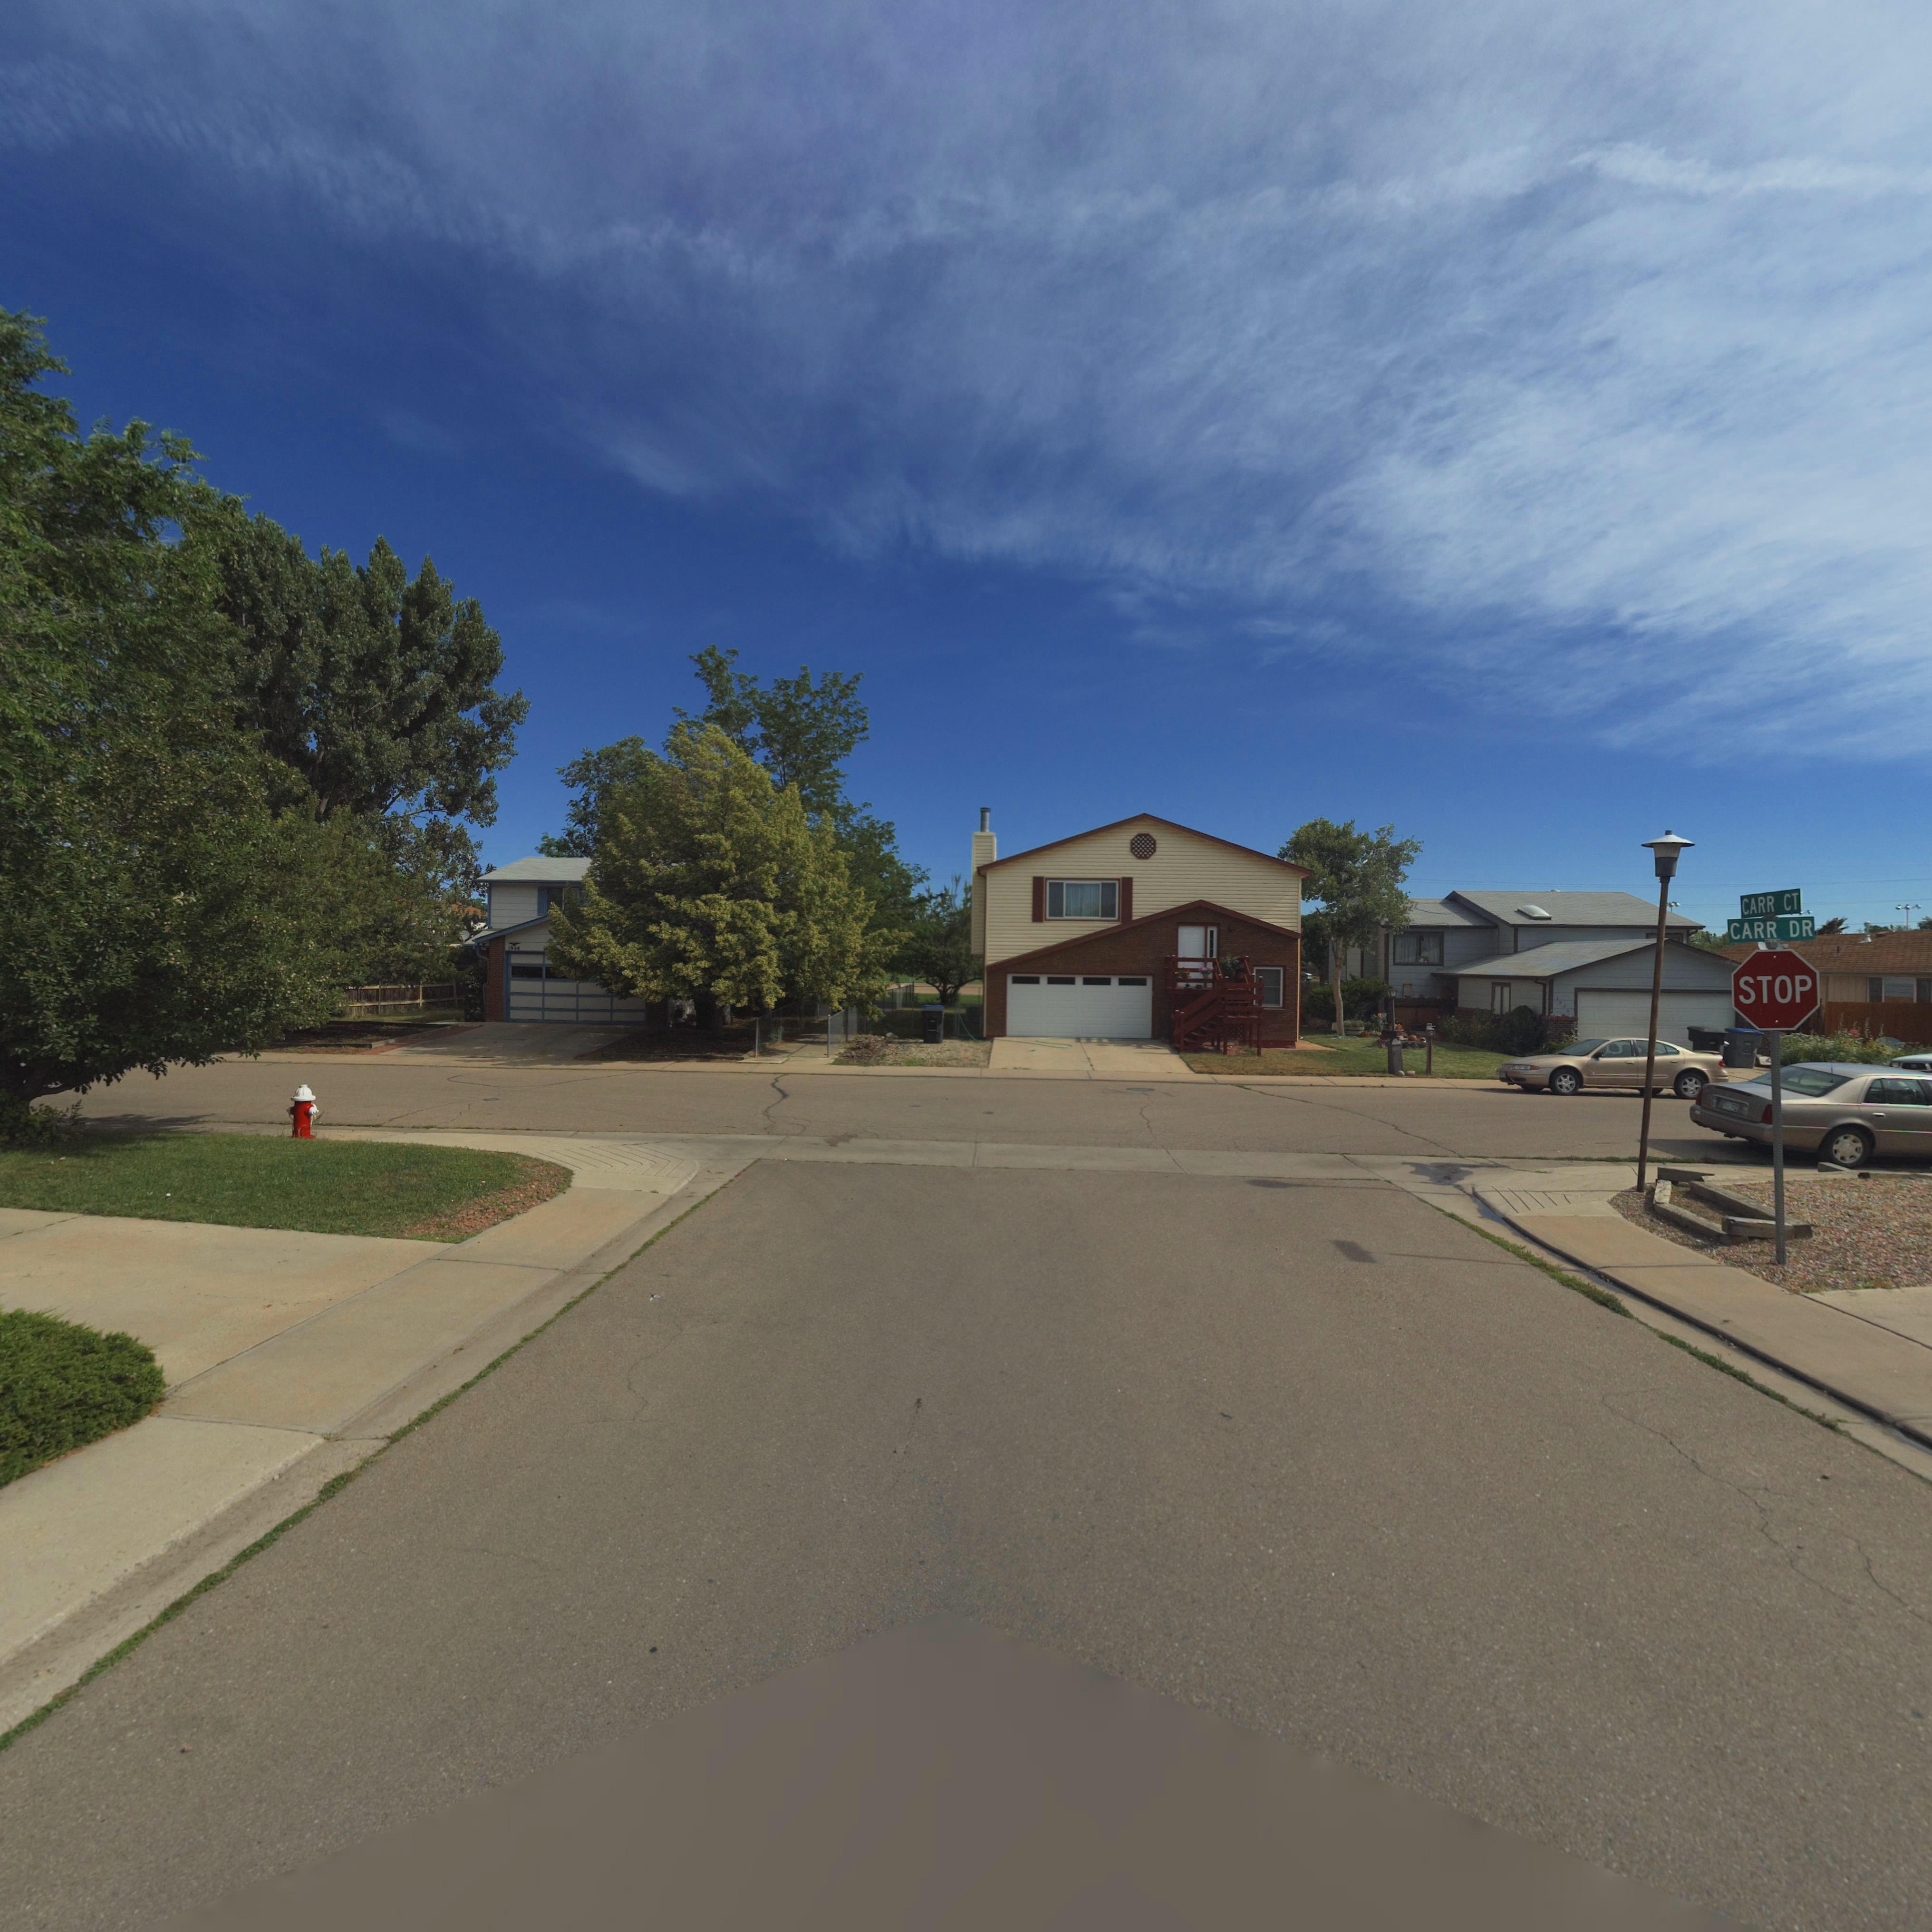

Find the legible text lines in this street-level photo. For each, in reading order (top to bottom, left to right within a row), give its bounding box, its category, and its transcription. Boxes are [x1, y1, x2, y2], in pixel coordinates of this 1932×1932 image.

[1741, 891, 1799, 916] StreetName: CARR CT
[1729, 919, 1814, 940] StreetNumber: CARR DR
[508, 945, 521, 951] StreetNumber: 1944
[1556, 996, 1569, 1013] StreetNumber: 193*